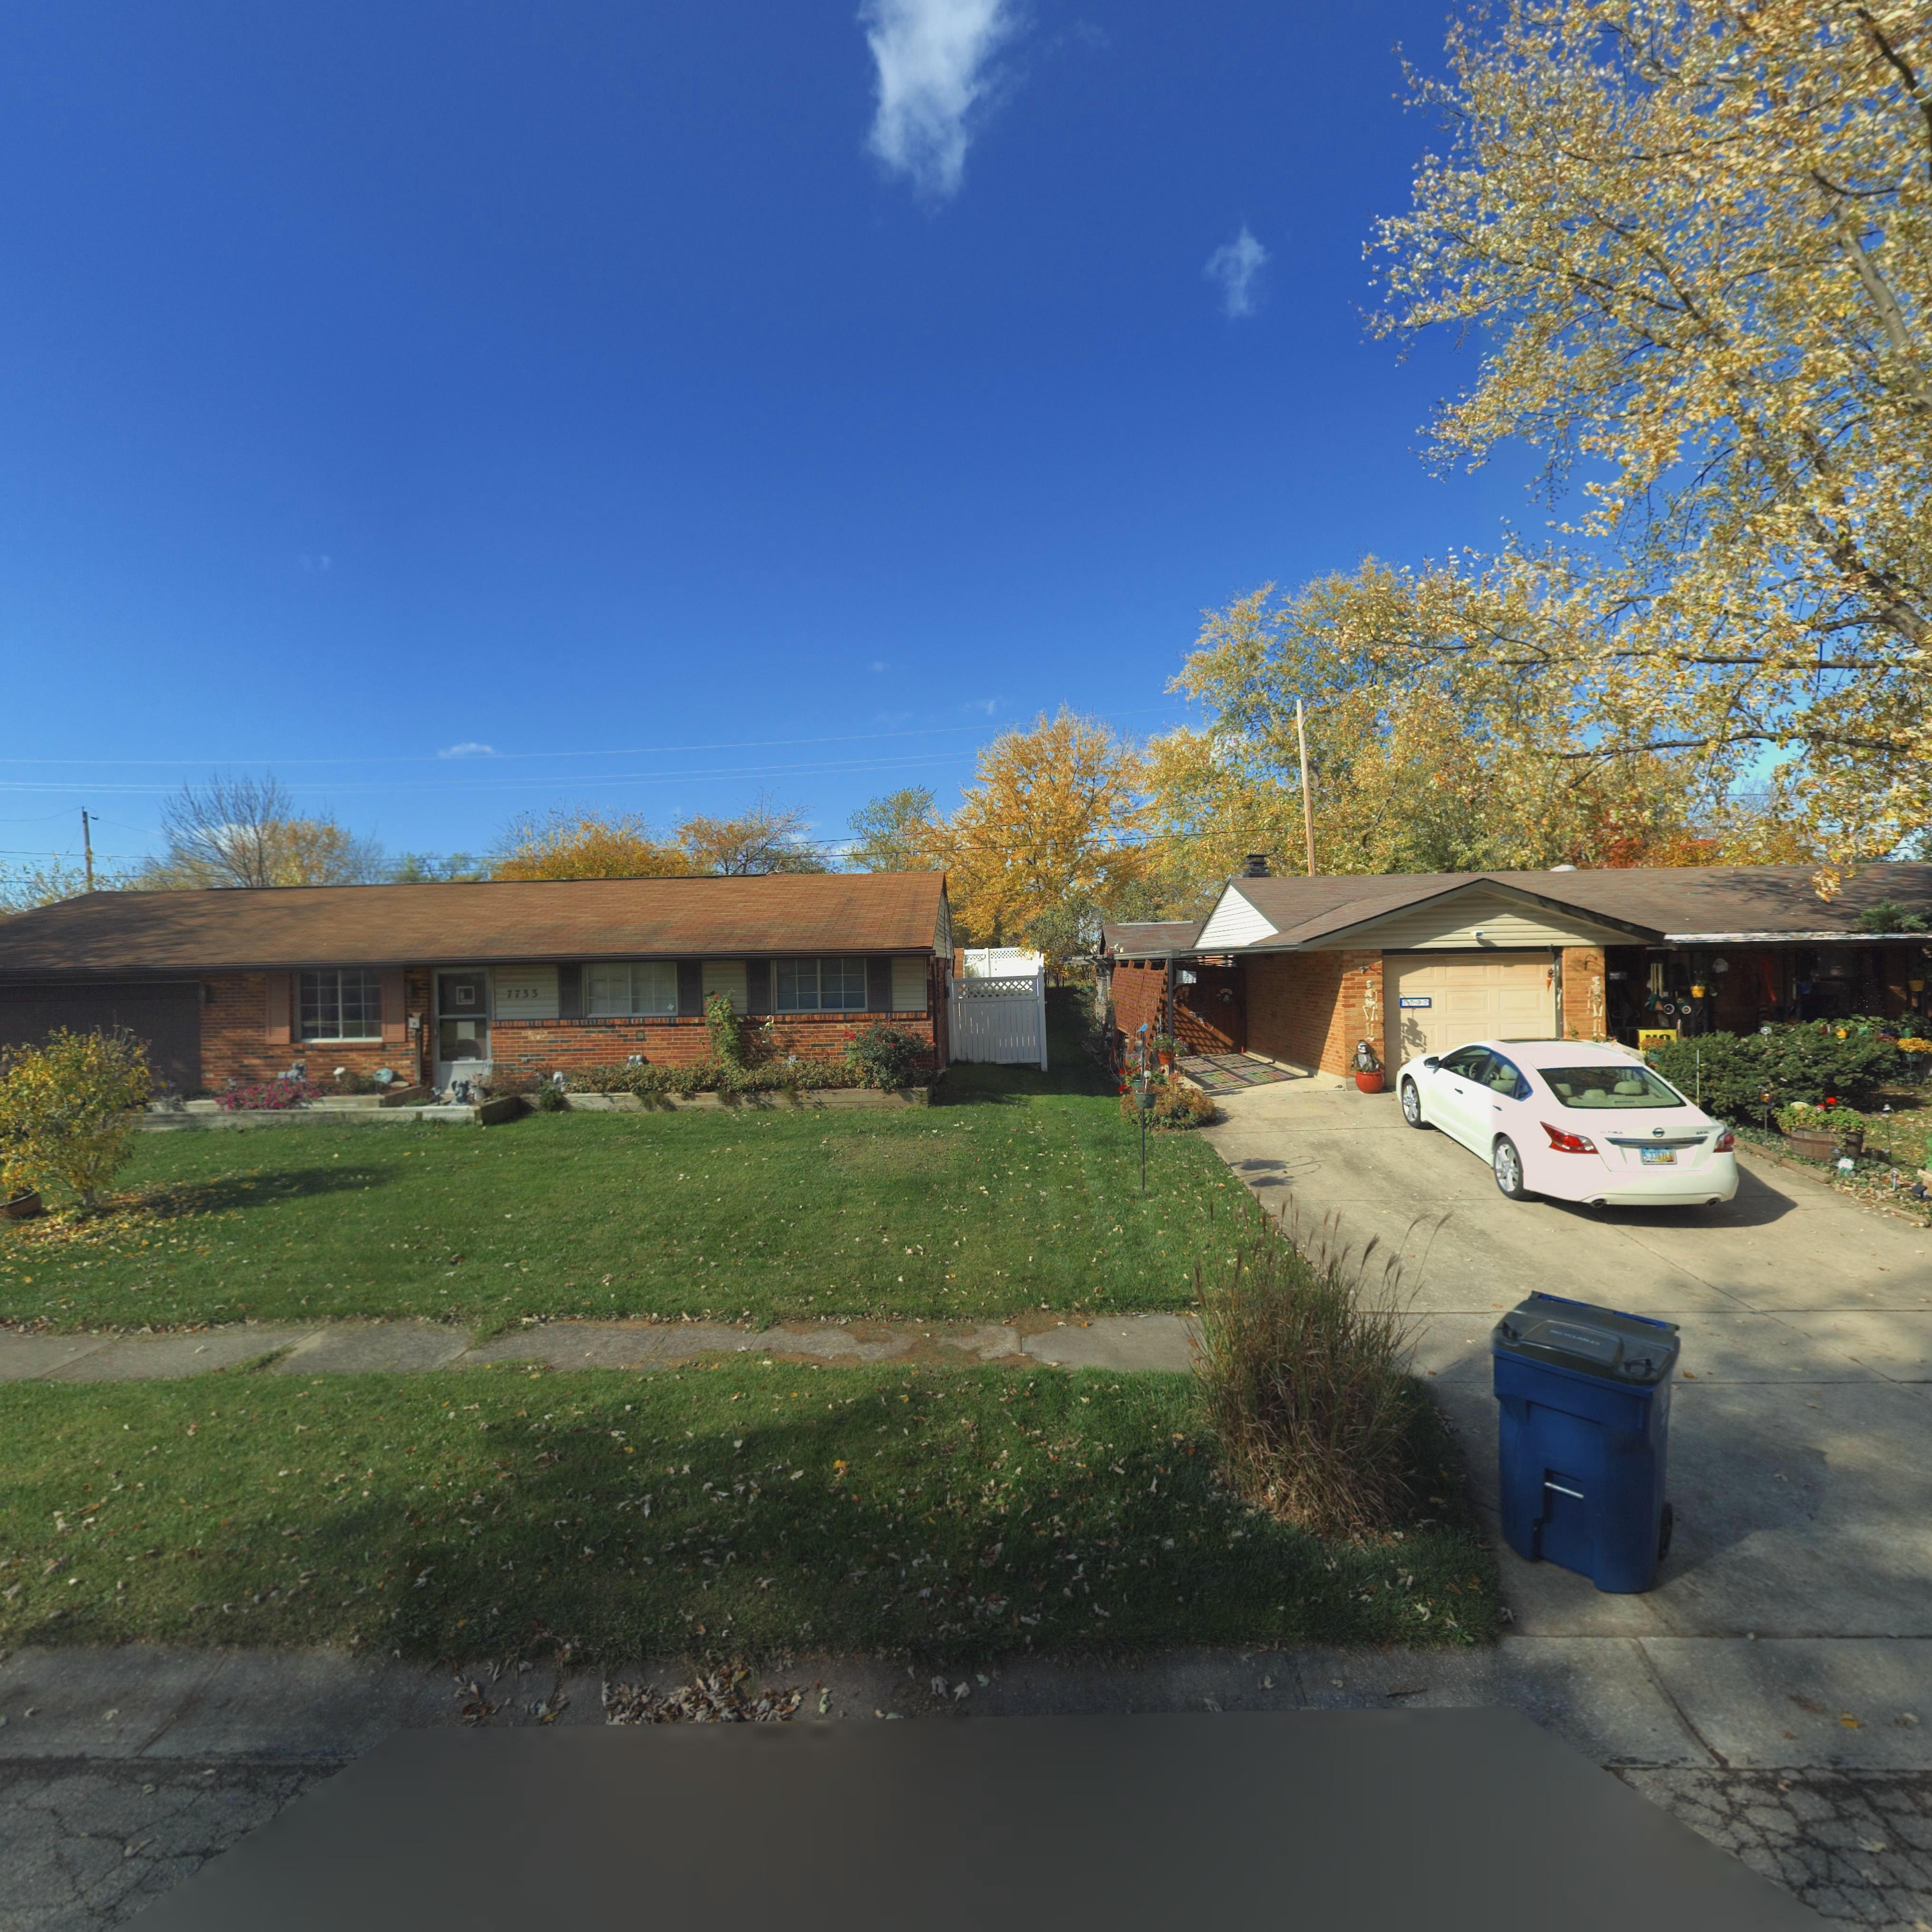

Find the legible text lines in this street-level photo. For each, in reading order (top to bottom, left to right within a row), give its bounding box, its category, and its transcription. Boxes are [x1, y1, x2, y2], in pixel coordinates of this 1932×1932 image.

[506, 987, 539, 1000] StreetNumber: 7733
[1402, 999, 1429, 1006] StreetNumber: 77*7